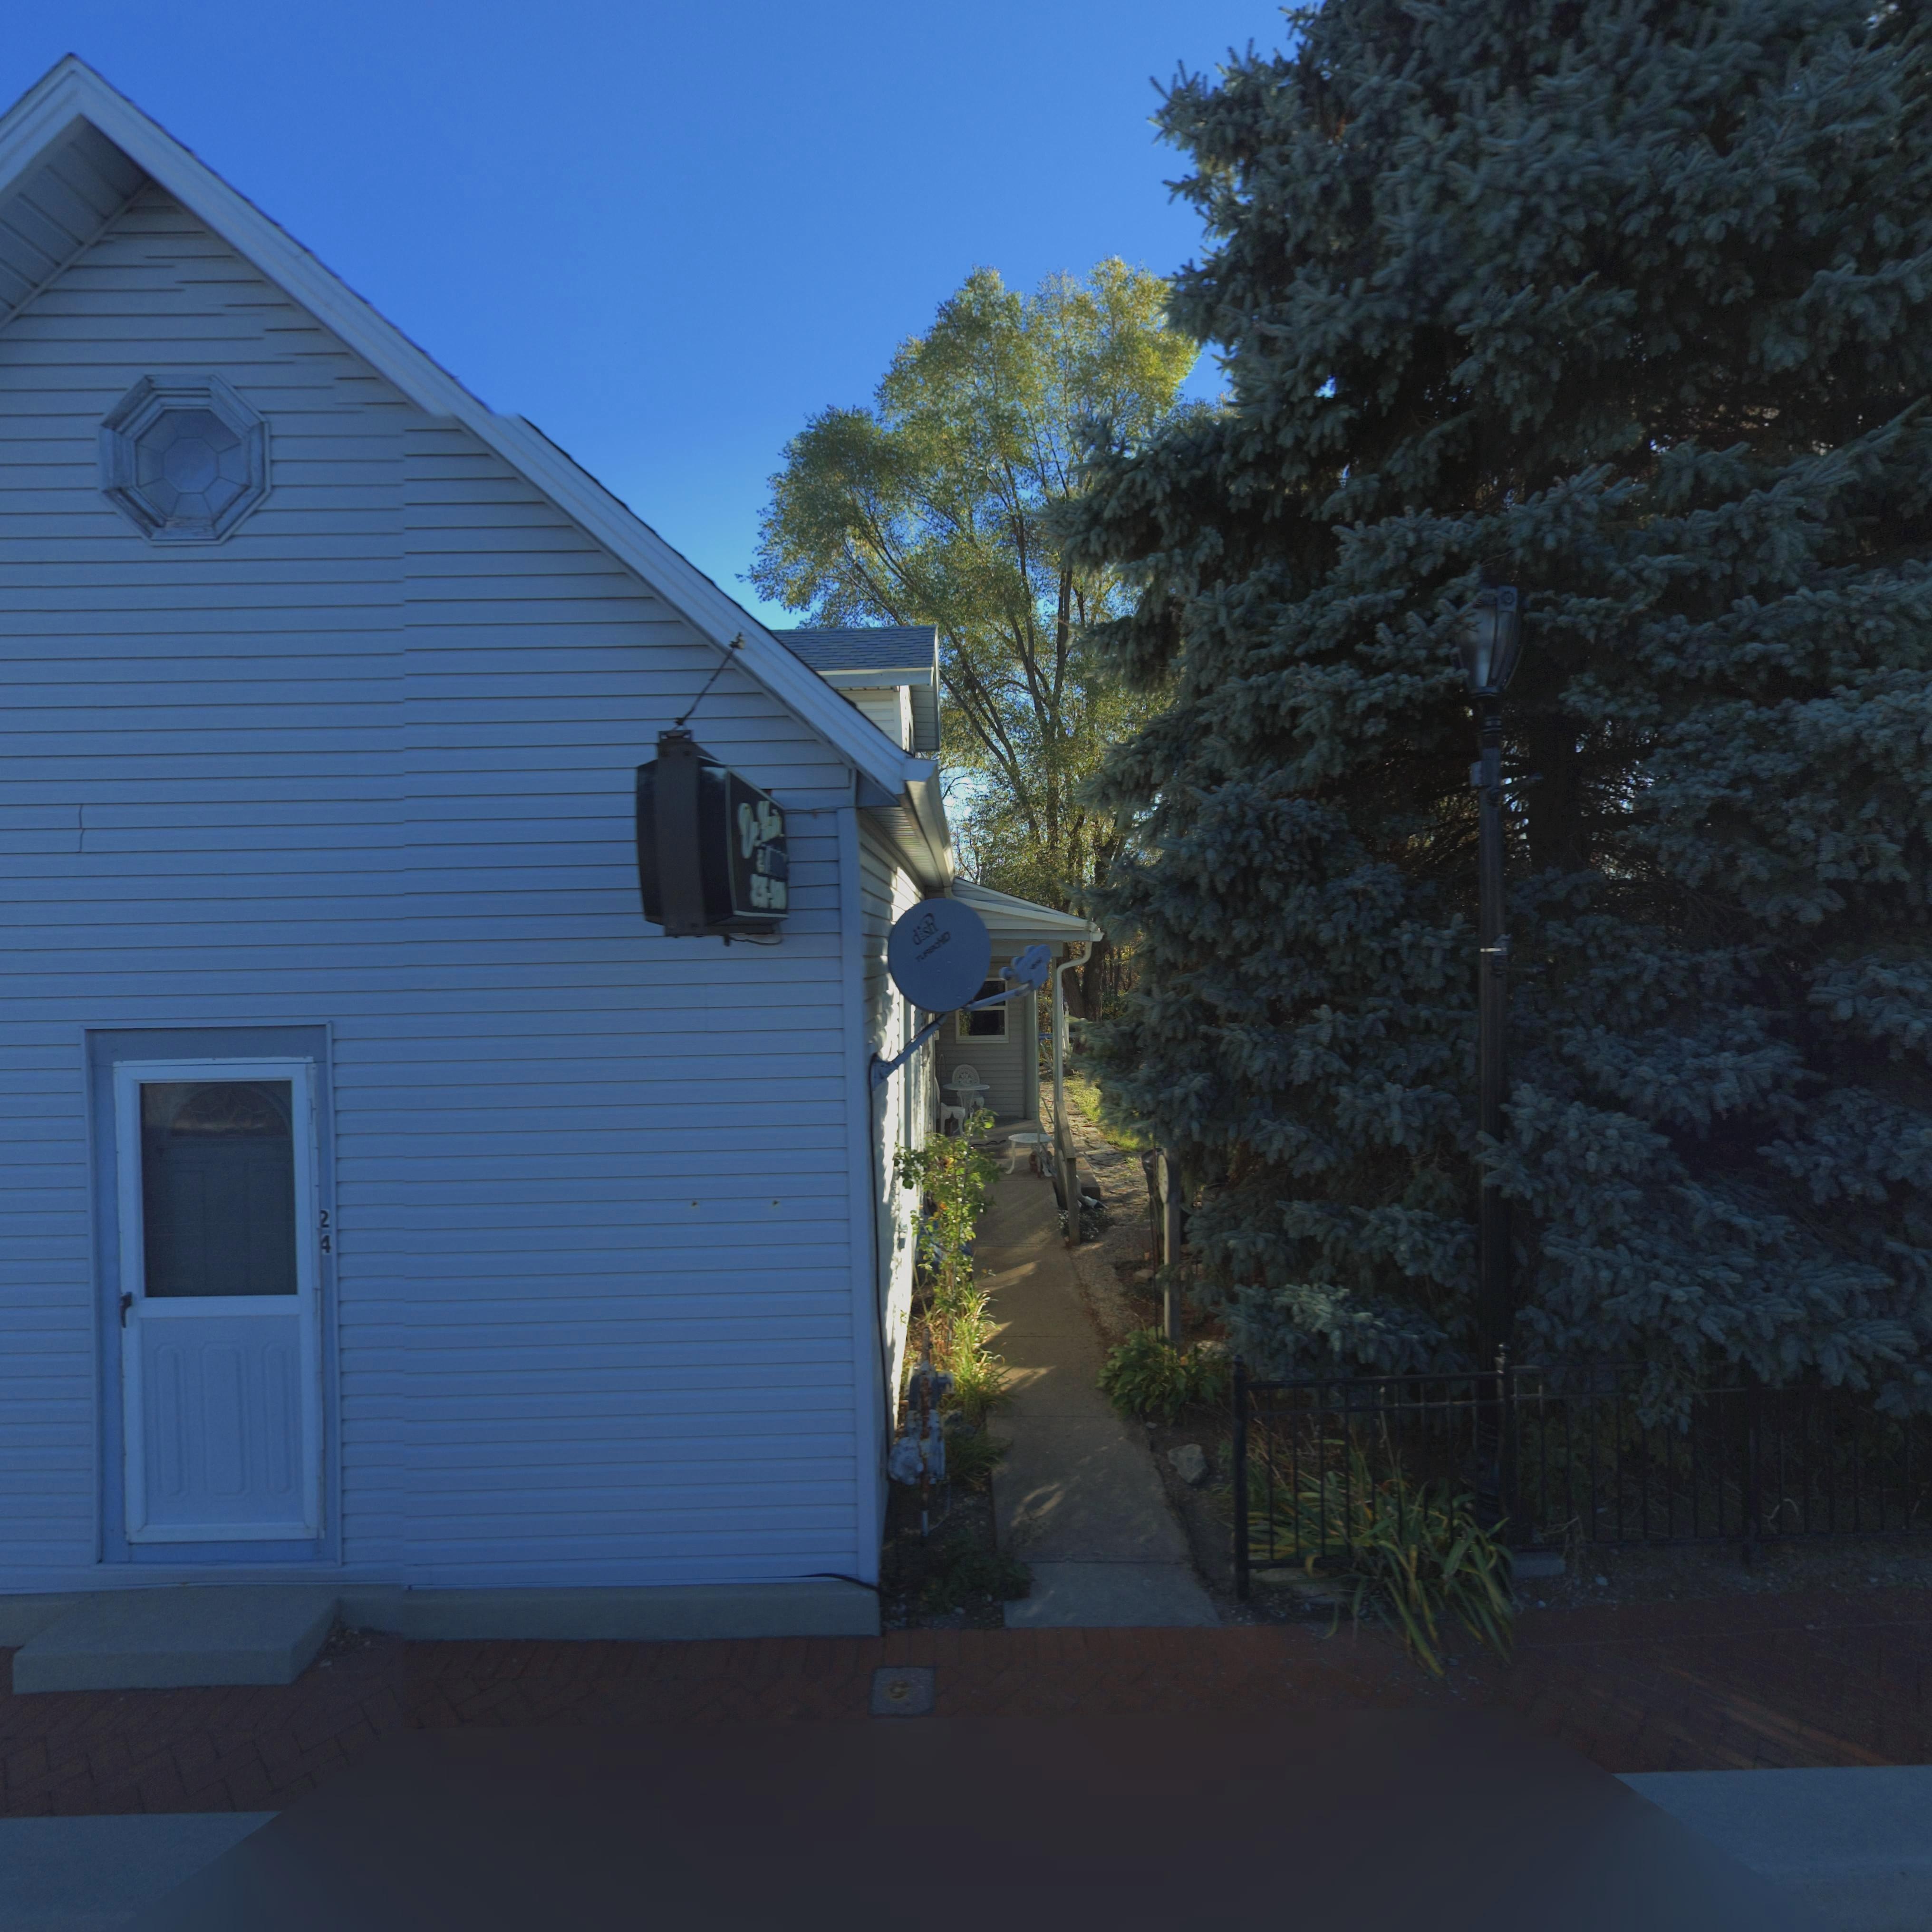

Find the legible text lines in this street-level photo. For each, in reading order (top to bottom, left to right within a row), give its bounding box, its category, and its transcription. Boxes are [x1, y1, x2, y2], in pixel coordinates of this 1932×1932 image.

[910, 920, 941, 947] None: dish
[319, 1208, 332, 1254] StreetNumber: 24